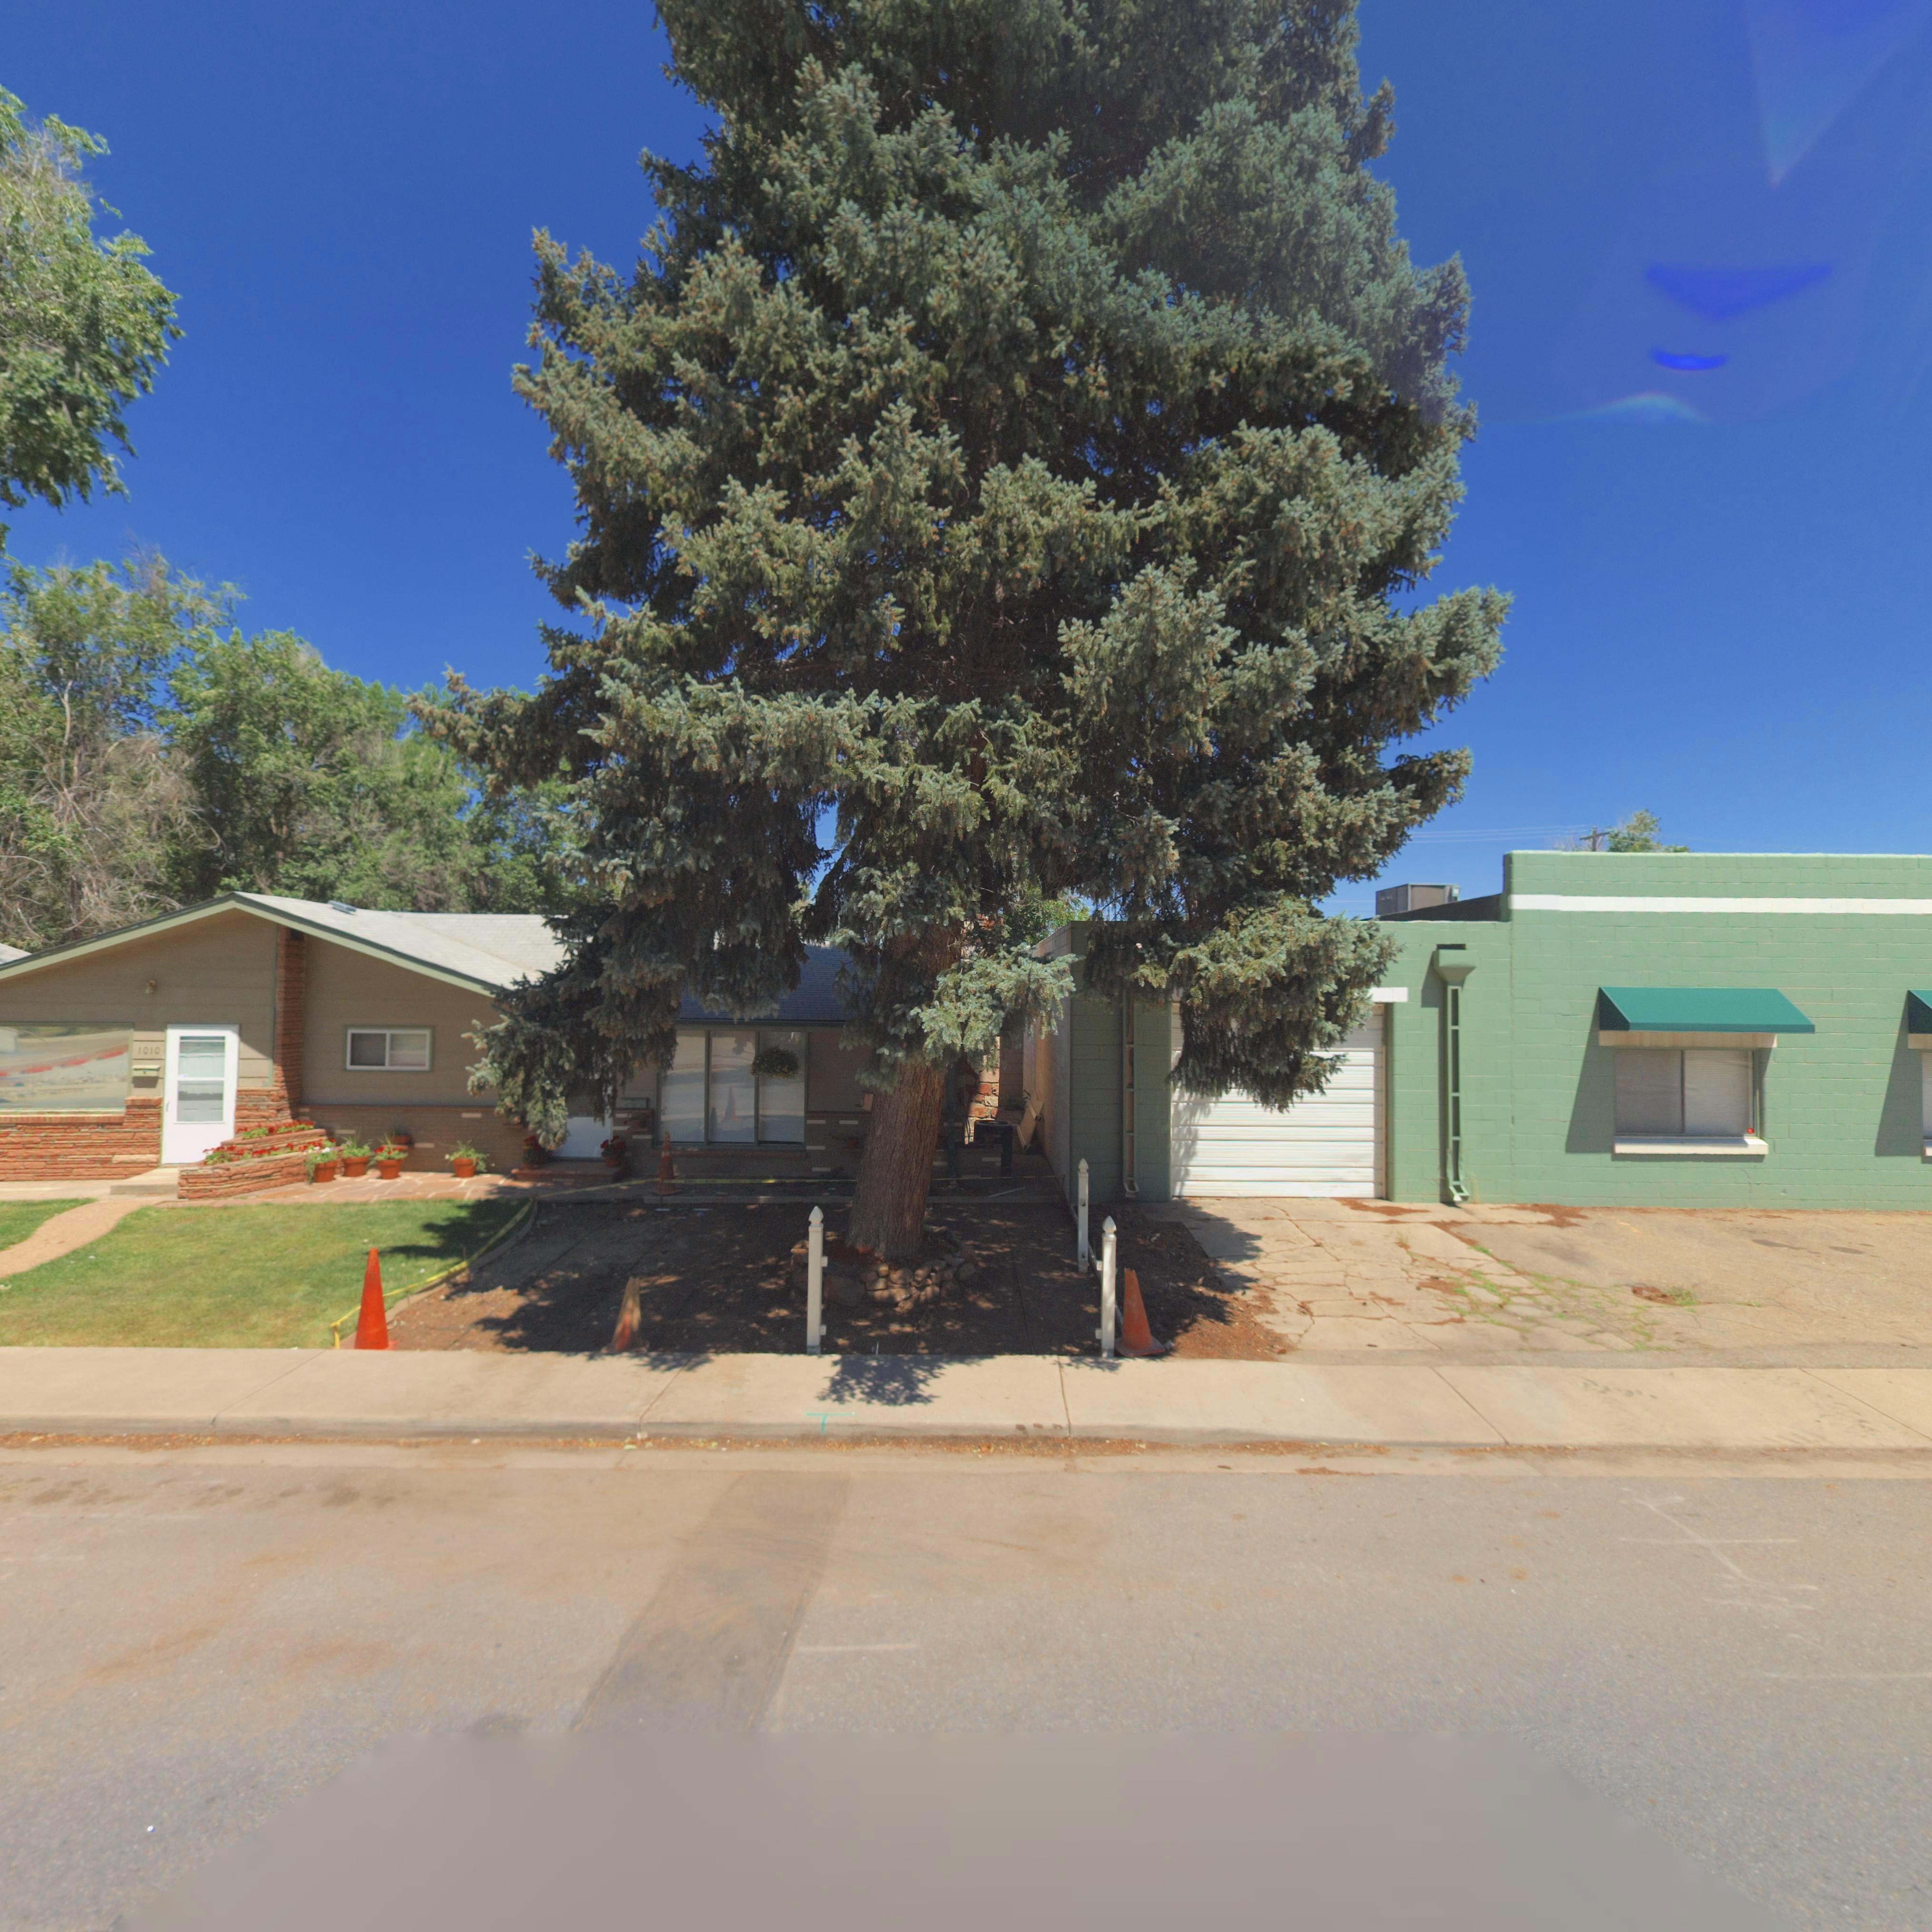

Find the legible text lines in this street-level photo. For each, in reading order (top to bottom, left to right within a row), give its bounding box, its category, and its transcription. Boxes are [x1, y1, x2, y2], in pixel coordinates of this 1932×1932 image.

[137, 1046, 161, 1054] StreetNumber: 1010